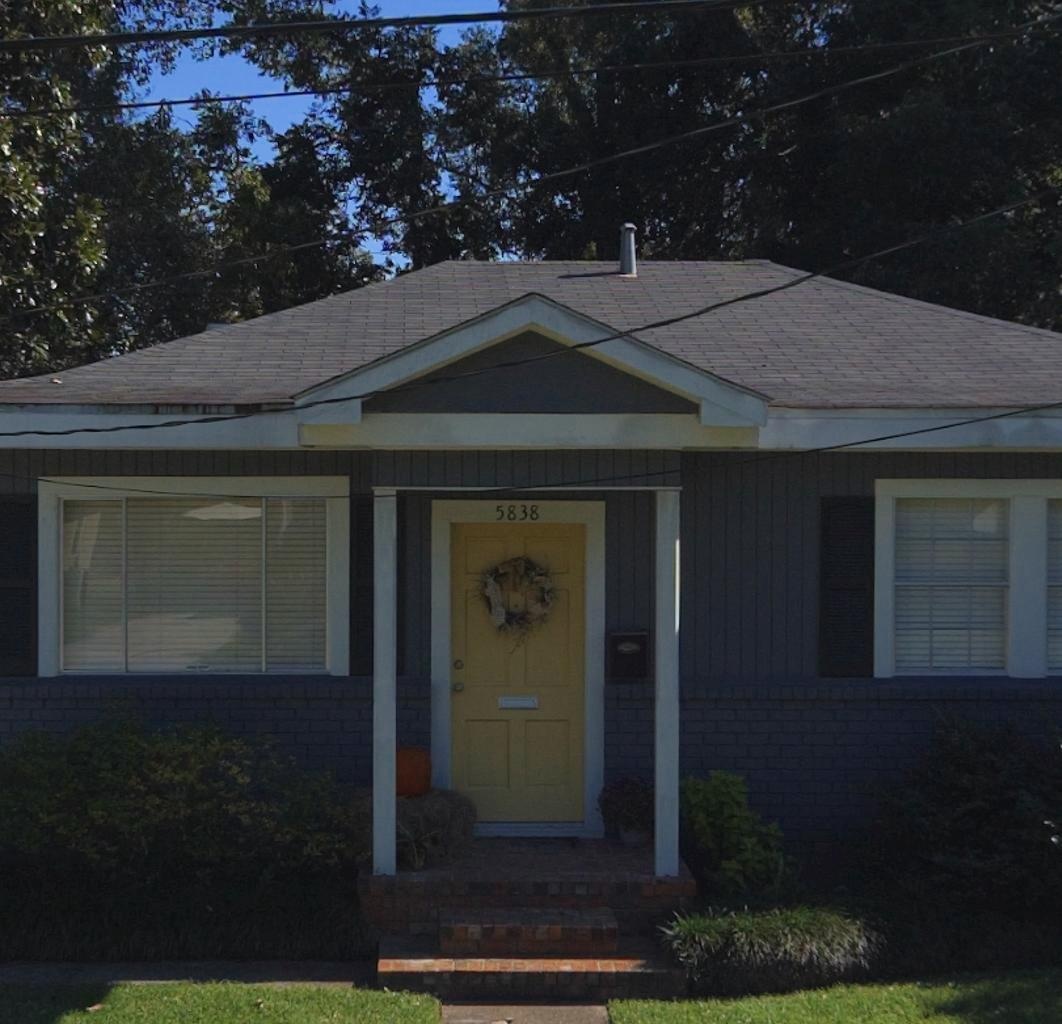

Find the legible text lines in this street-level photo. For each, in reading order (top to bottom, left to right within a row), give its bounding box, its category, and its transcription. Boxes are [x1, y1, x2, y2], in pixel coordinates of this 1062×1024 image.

[495, 504, 540, 522] StreetNumber: 5838